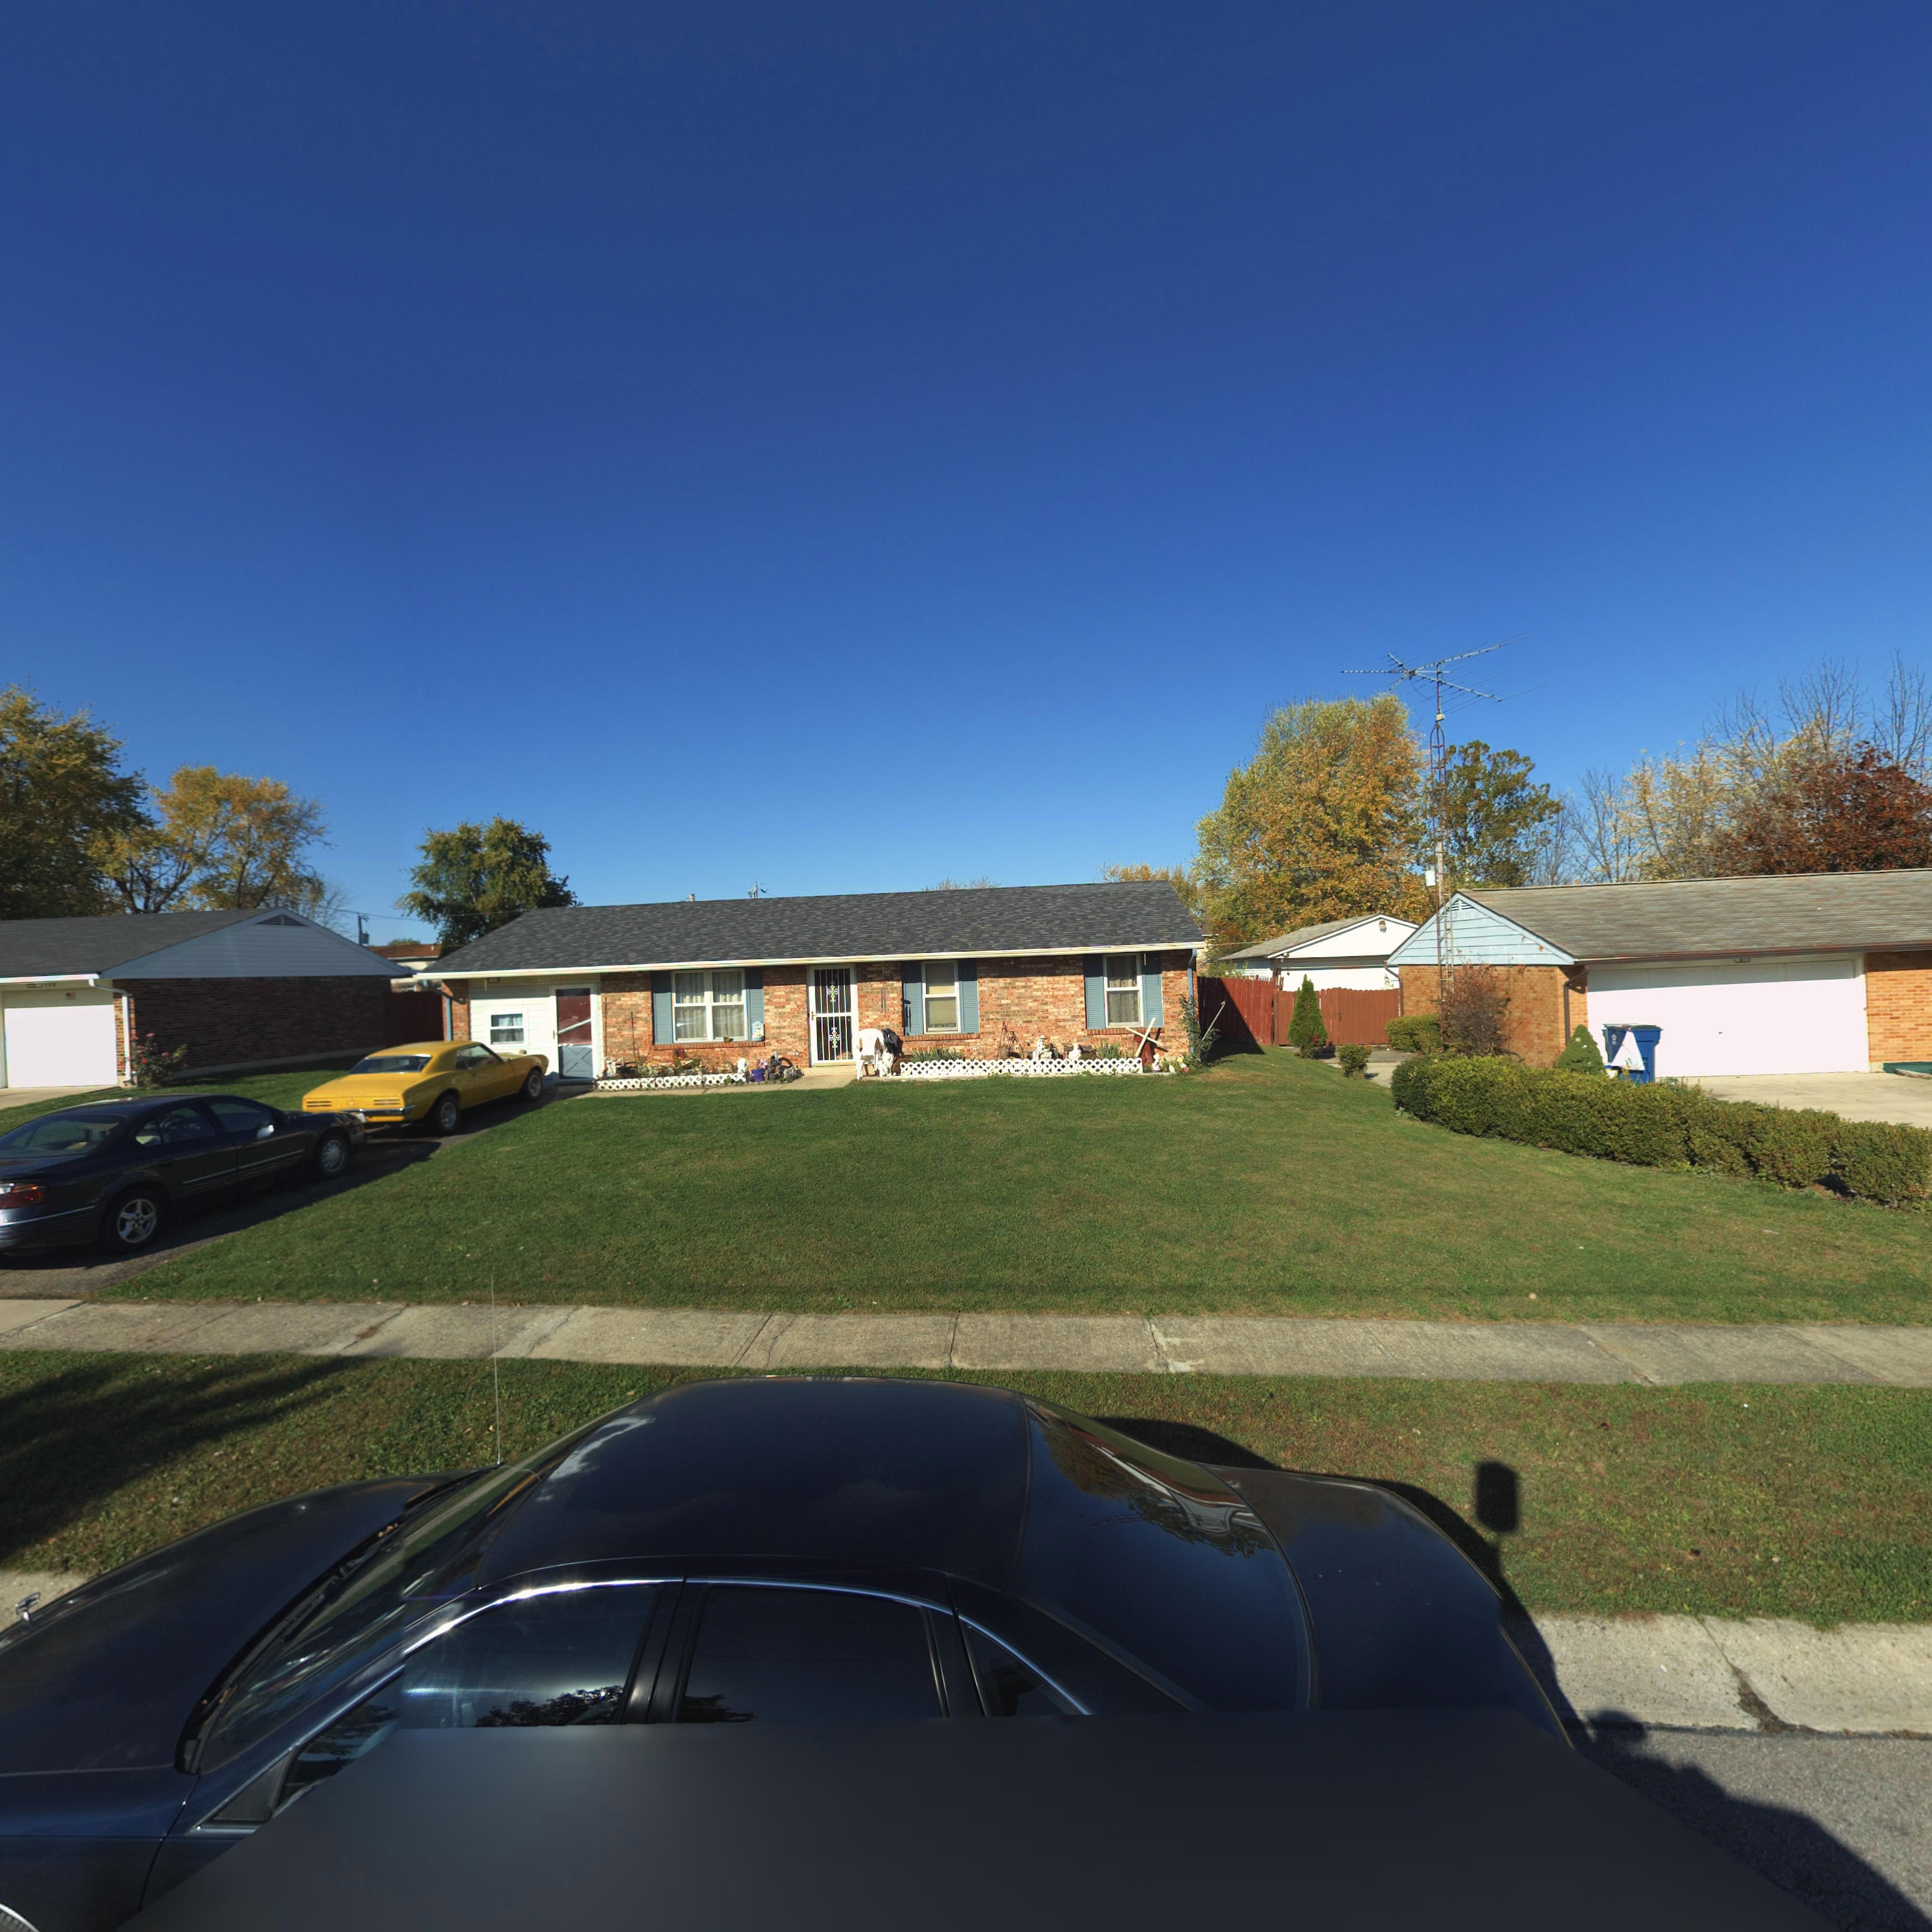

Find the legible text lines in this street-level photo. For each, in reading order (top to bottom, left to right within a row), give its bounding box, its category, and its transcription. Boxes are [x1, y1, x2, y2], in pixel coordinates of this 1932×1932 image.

[522, 977, 539, 985] StreetNumber: **1*